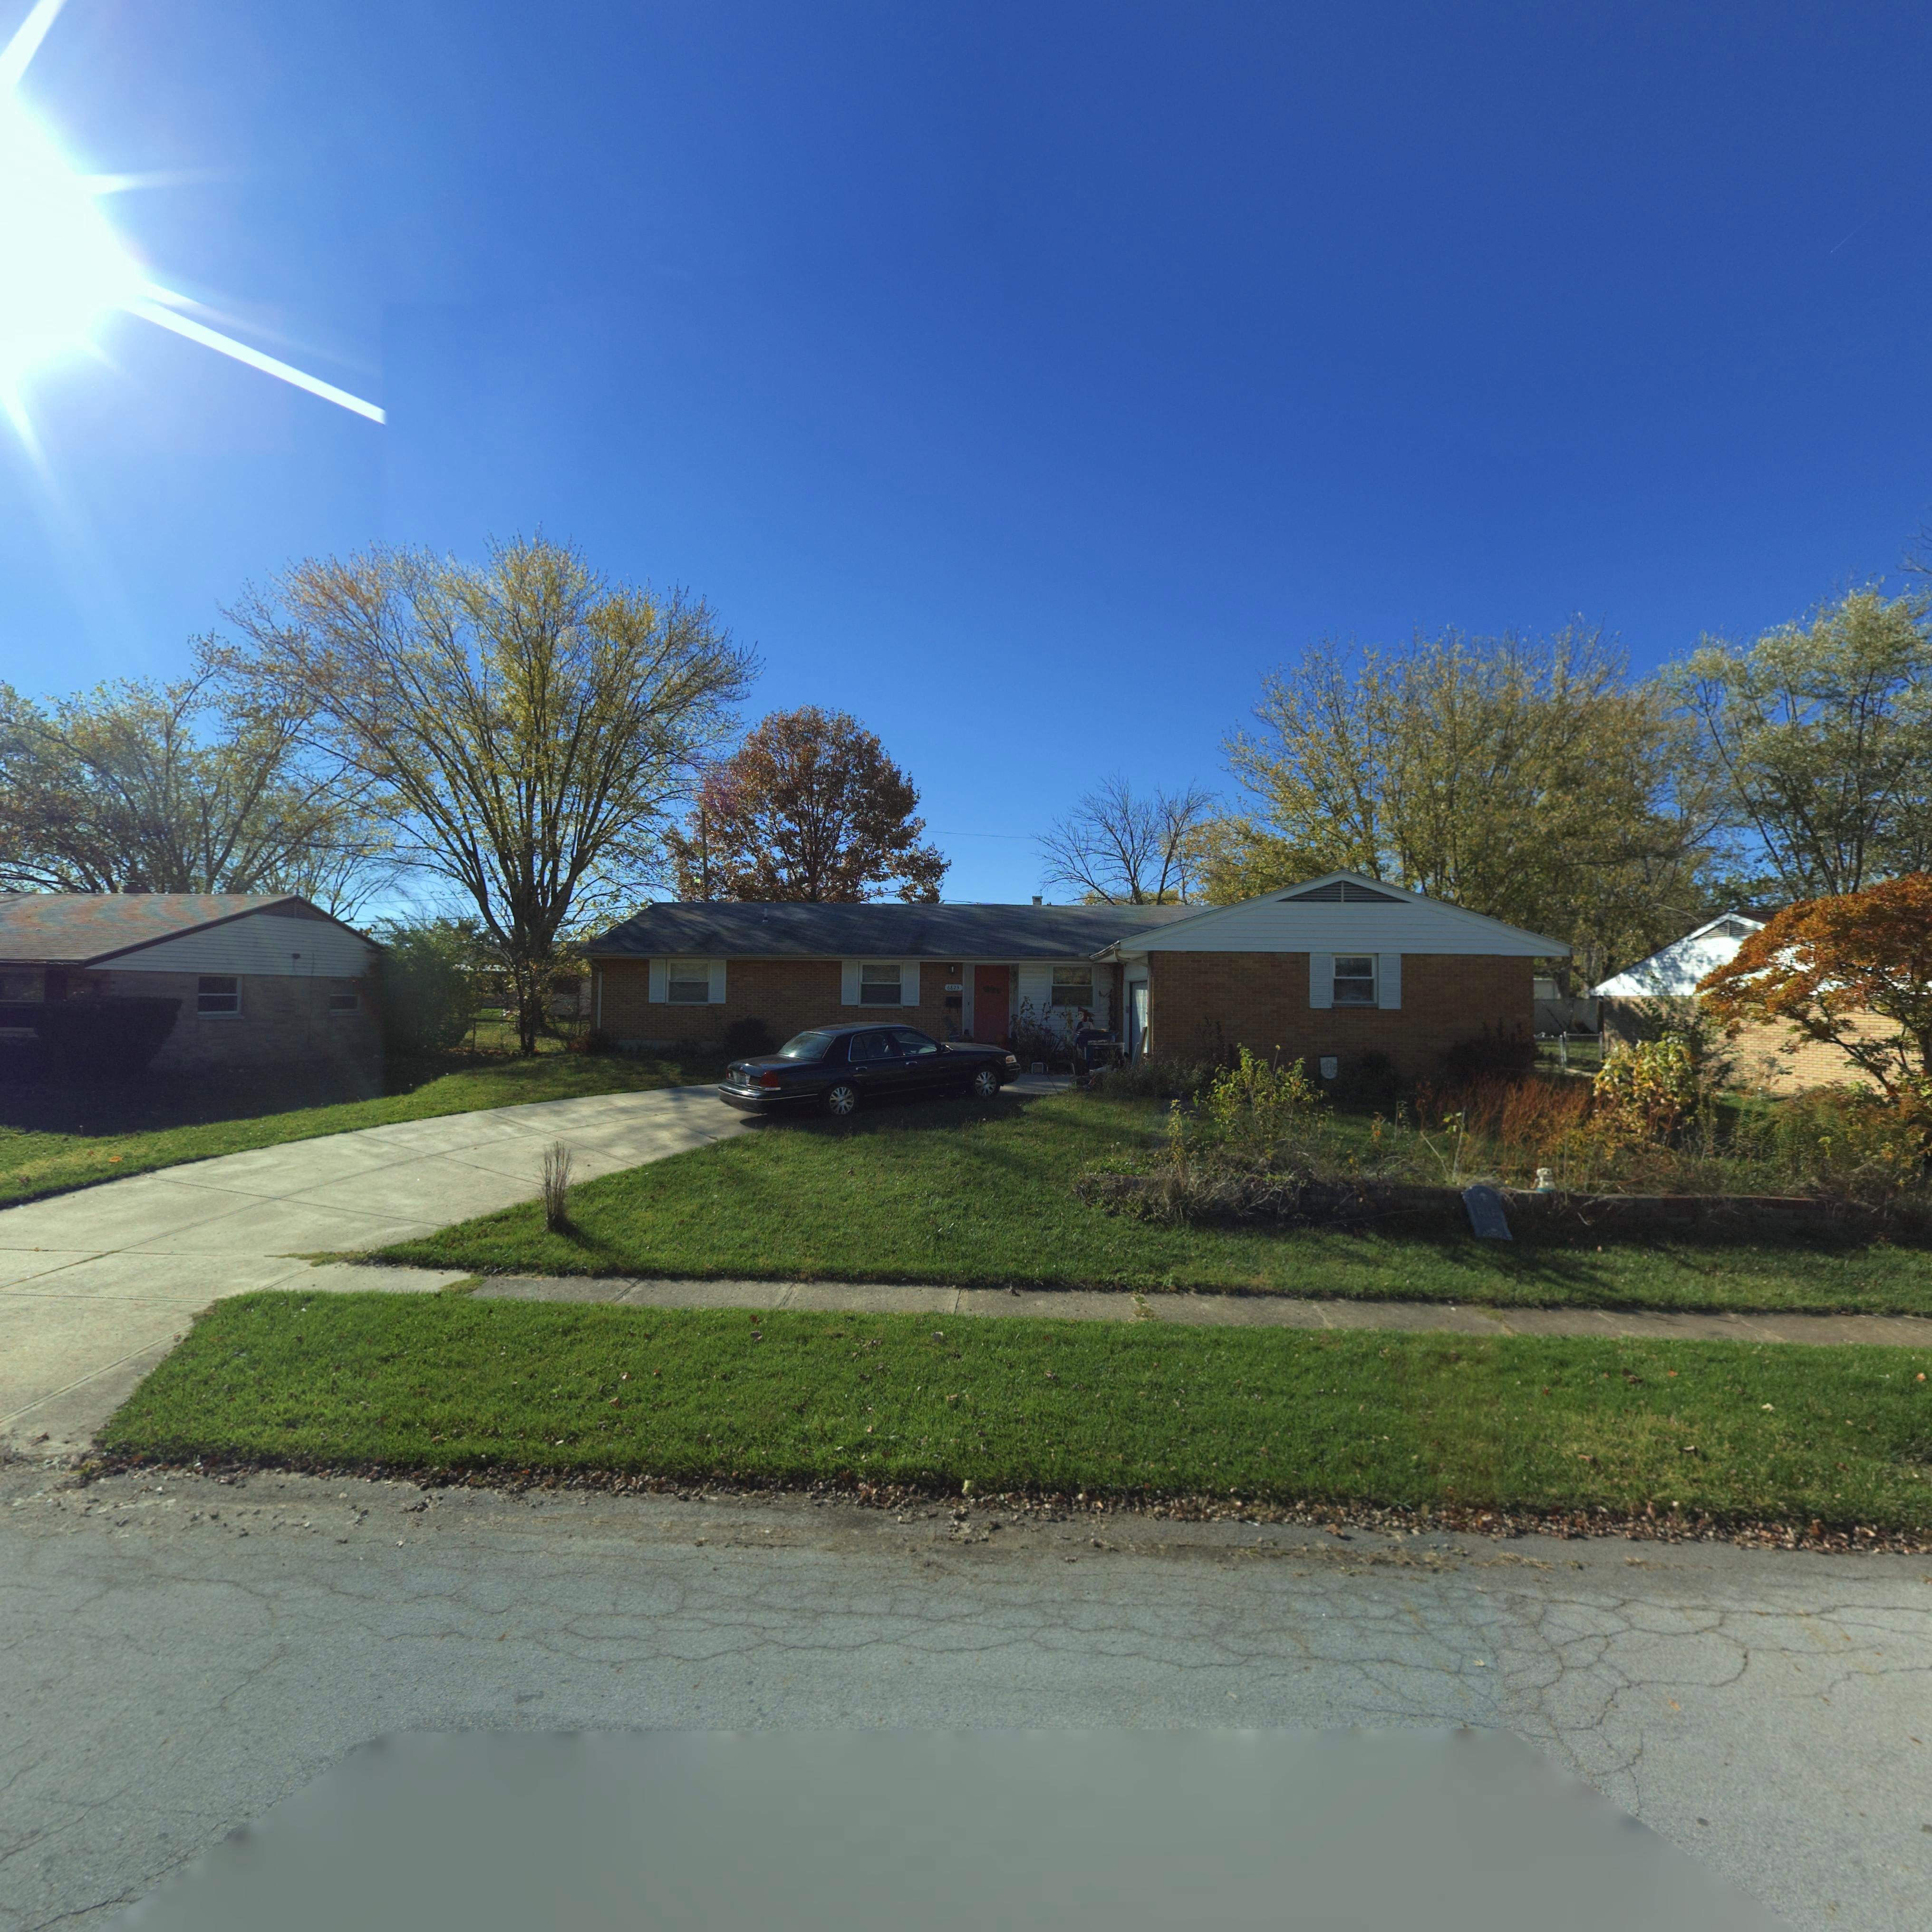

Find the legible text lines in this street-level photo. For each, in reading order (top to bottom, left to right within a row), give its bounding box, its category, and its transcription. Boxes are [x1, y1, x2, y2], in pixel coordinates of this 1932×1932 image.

[947, 985, 959, 990] StreetNumber: 6823